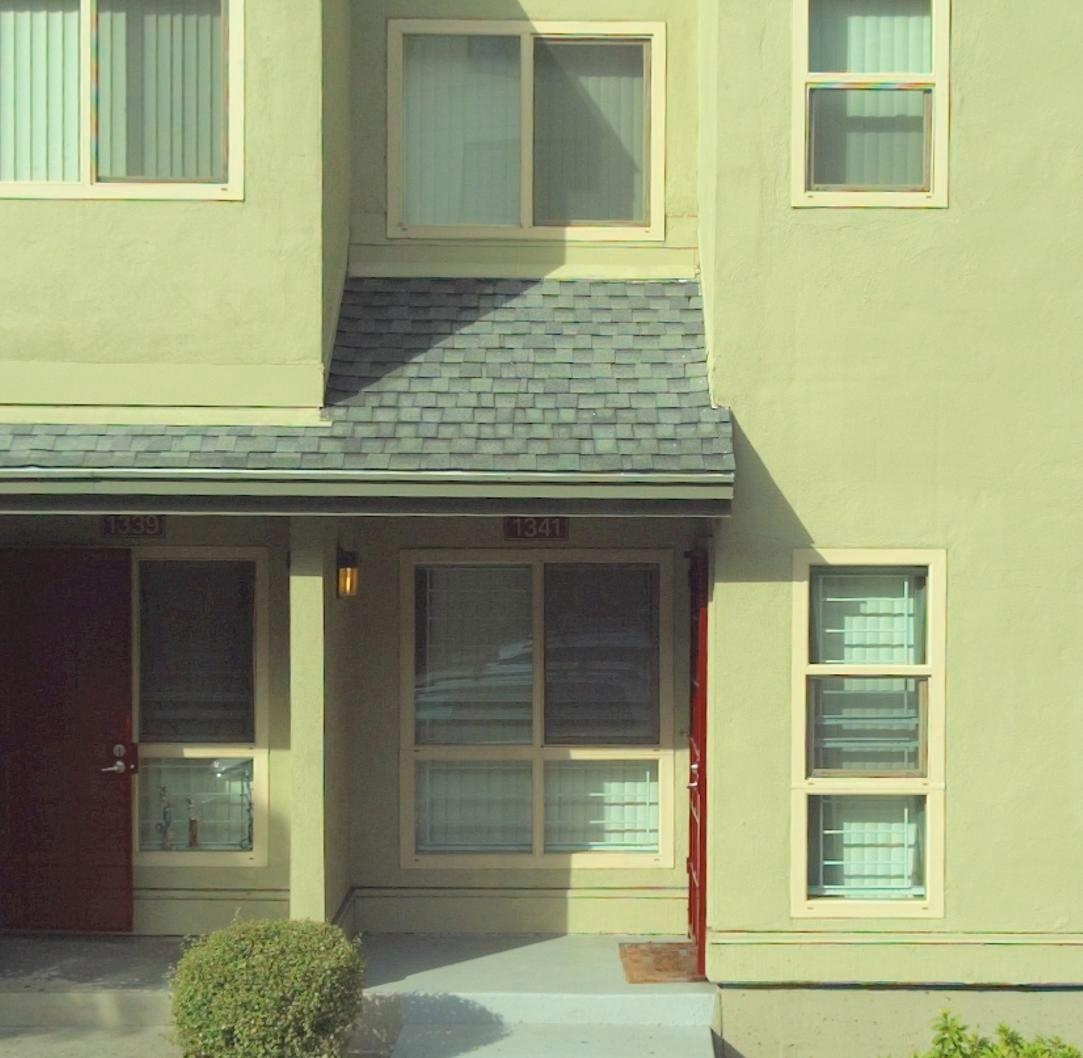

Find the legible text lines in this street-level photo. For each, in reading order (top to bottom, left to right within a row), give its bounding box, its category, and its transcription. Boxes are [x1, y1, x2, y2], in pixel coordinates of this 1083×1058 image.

[104, 513, 161, 536] StreetNumber: 1339
[511, 515, 562, 539] StreetNumber: 1341